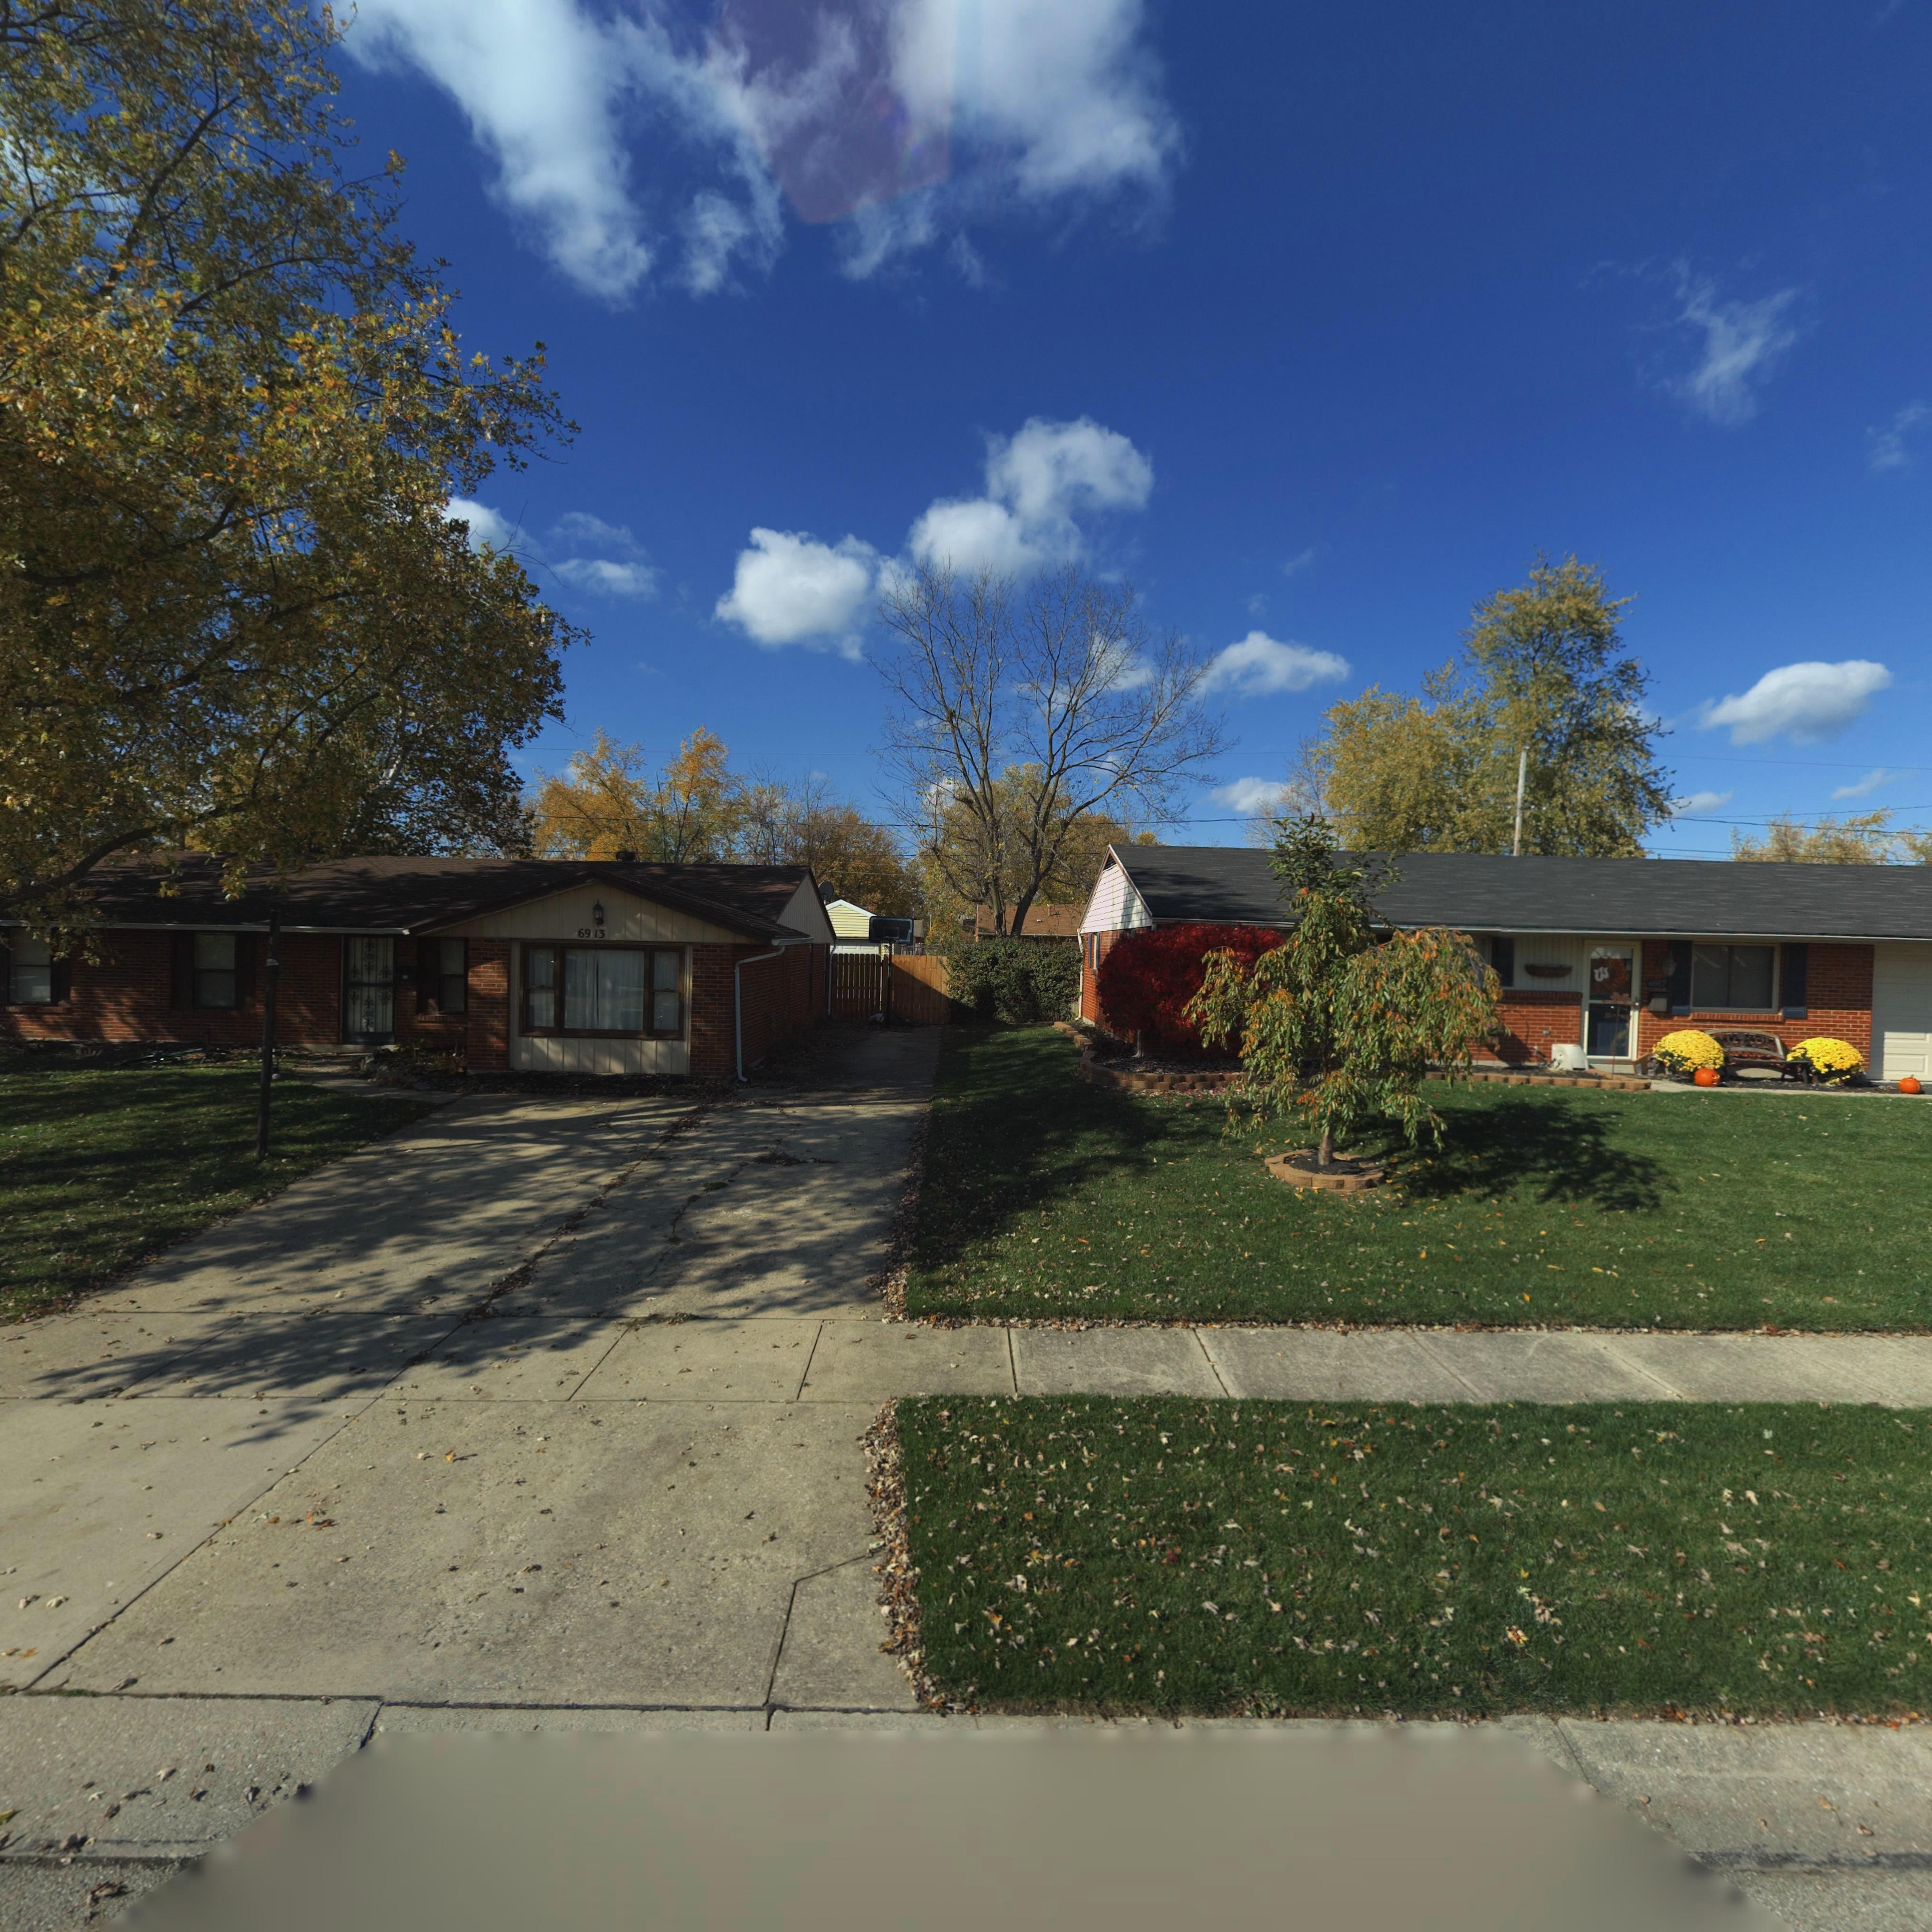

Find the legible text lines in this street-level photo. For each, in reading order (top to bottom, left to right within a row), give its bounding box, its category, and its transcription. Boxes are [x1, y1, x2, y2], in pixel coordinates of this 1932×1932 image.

[576, 927, 607, 940] StreetNumber: 6913
[1647, 979, 1668, 988] StreetNumber: 6917